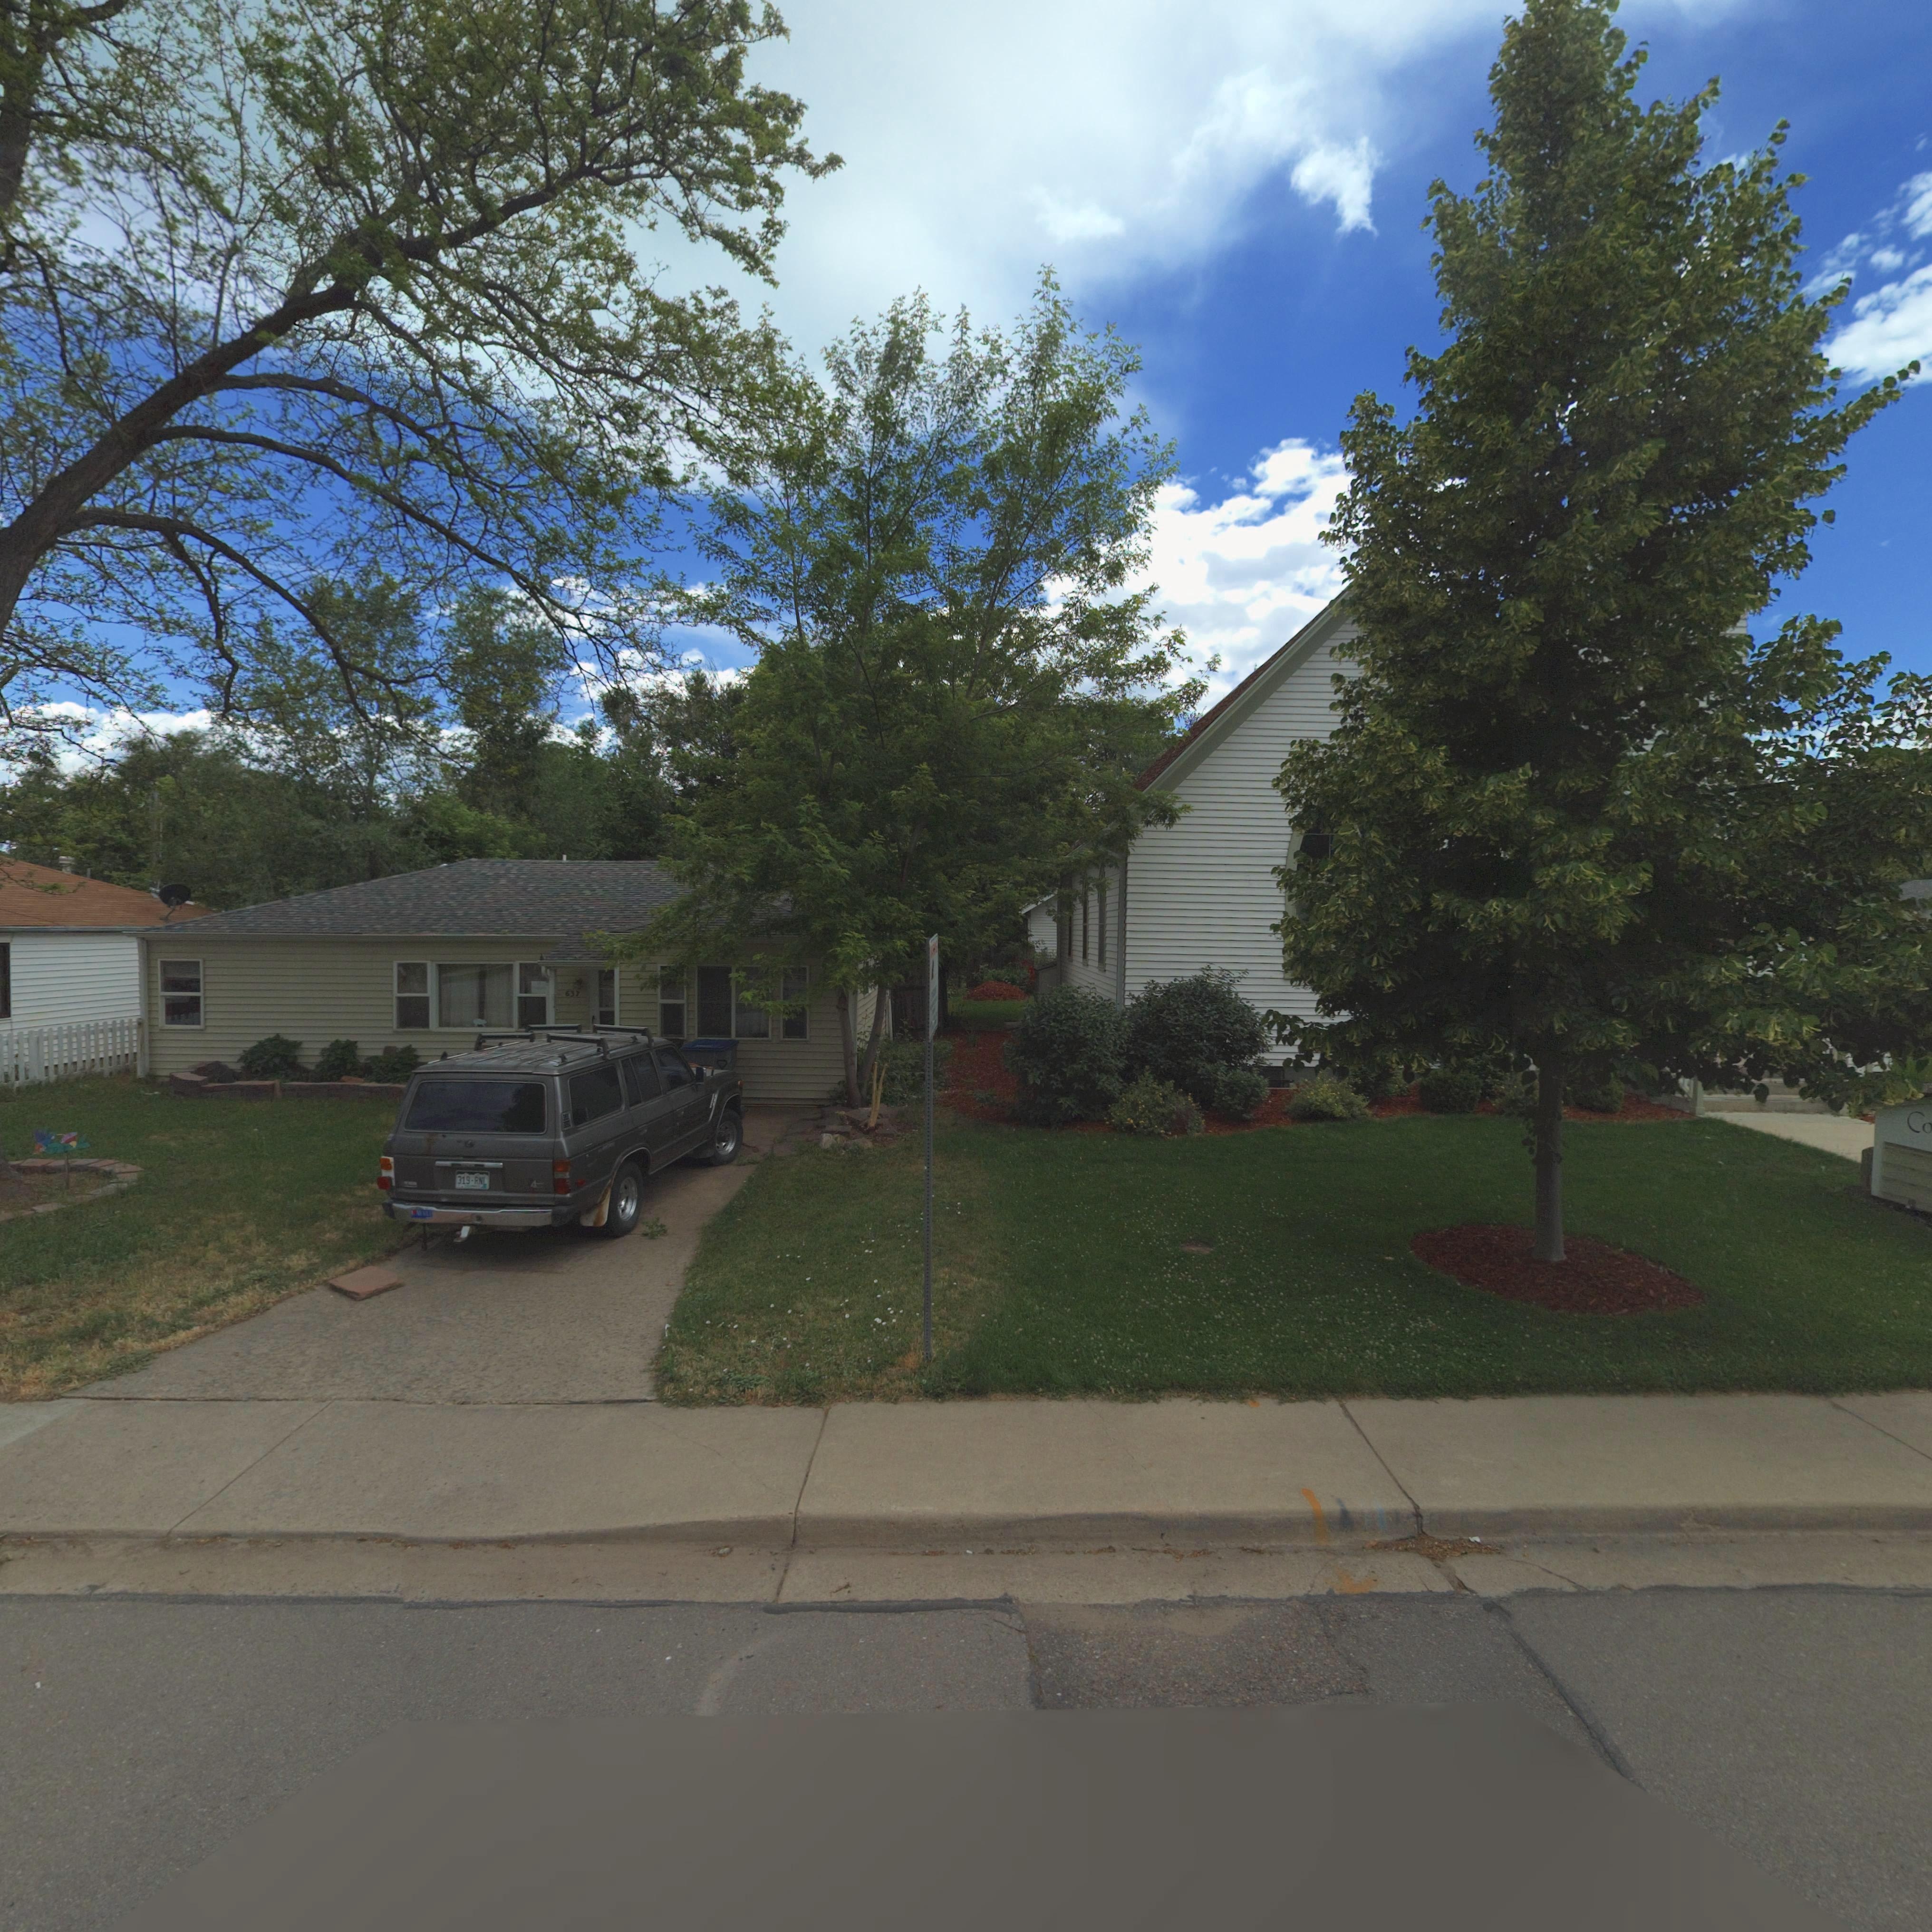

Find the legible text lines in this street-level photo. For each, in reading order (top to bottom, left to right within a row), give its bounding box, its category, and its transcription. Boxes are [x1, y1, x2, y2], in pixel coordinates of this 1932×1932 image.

[565, 990, 580, 997] StreetNumber: 637
[1906, 1110, 1925, 1133] BusinessName: C